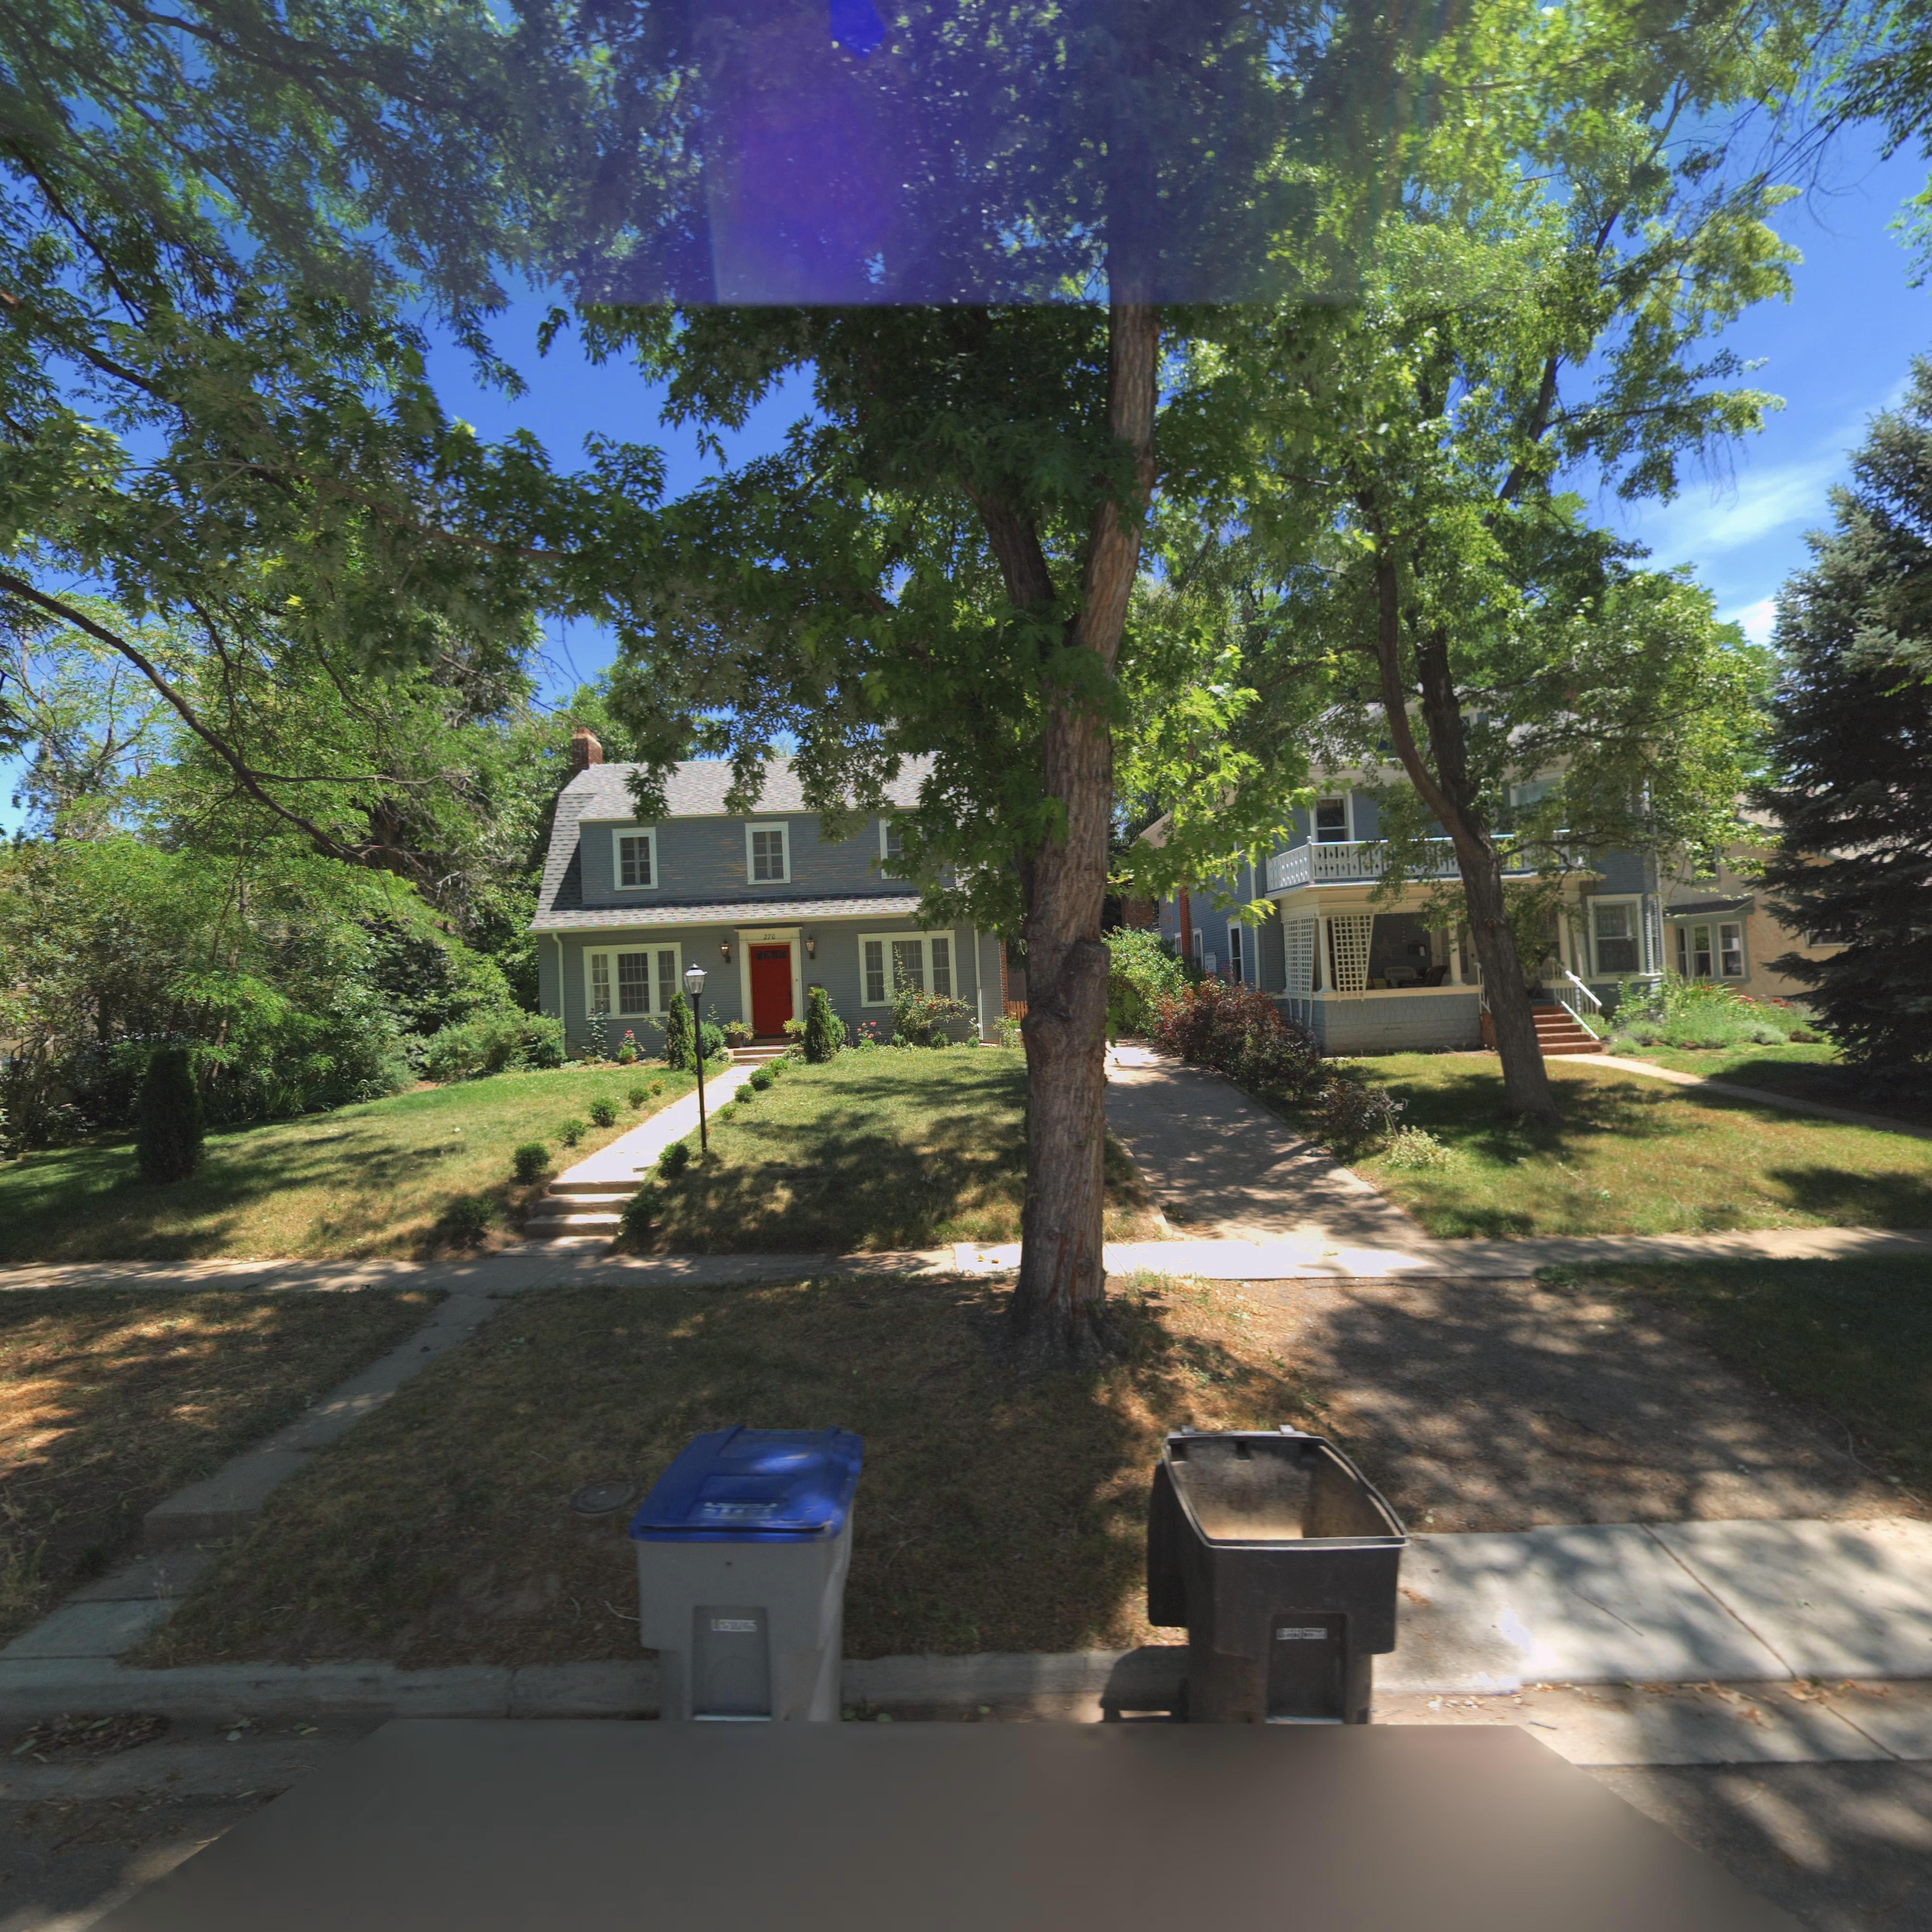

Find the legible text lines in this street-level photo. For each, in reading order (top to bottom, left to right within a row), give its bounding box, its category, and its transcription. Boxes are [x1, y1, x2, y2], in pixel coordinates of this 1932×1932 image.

[763, 933, 775, 939] StreetNumber: 270